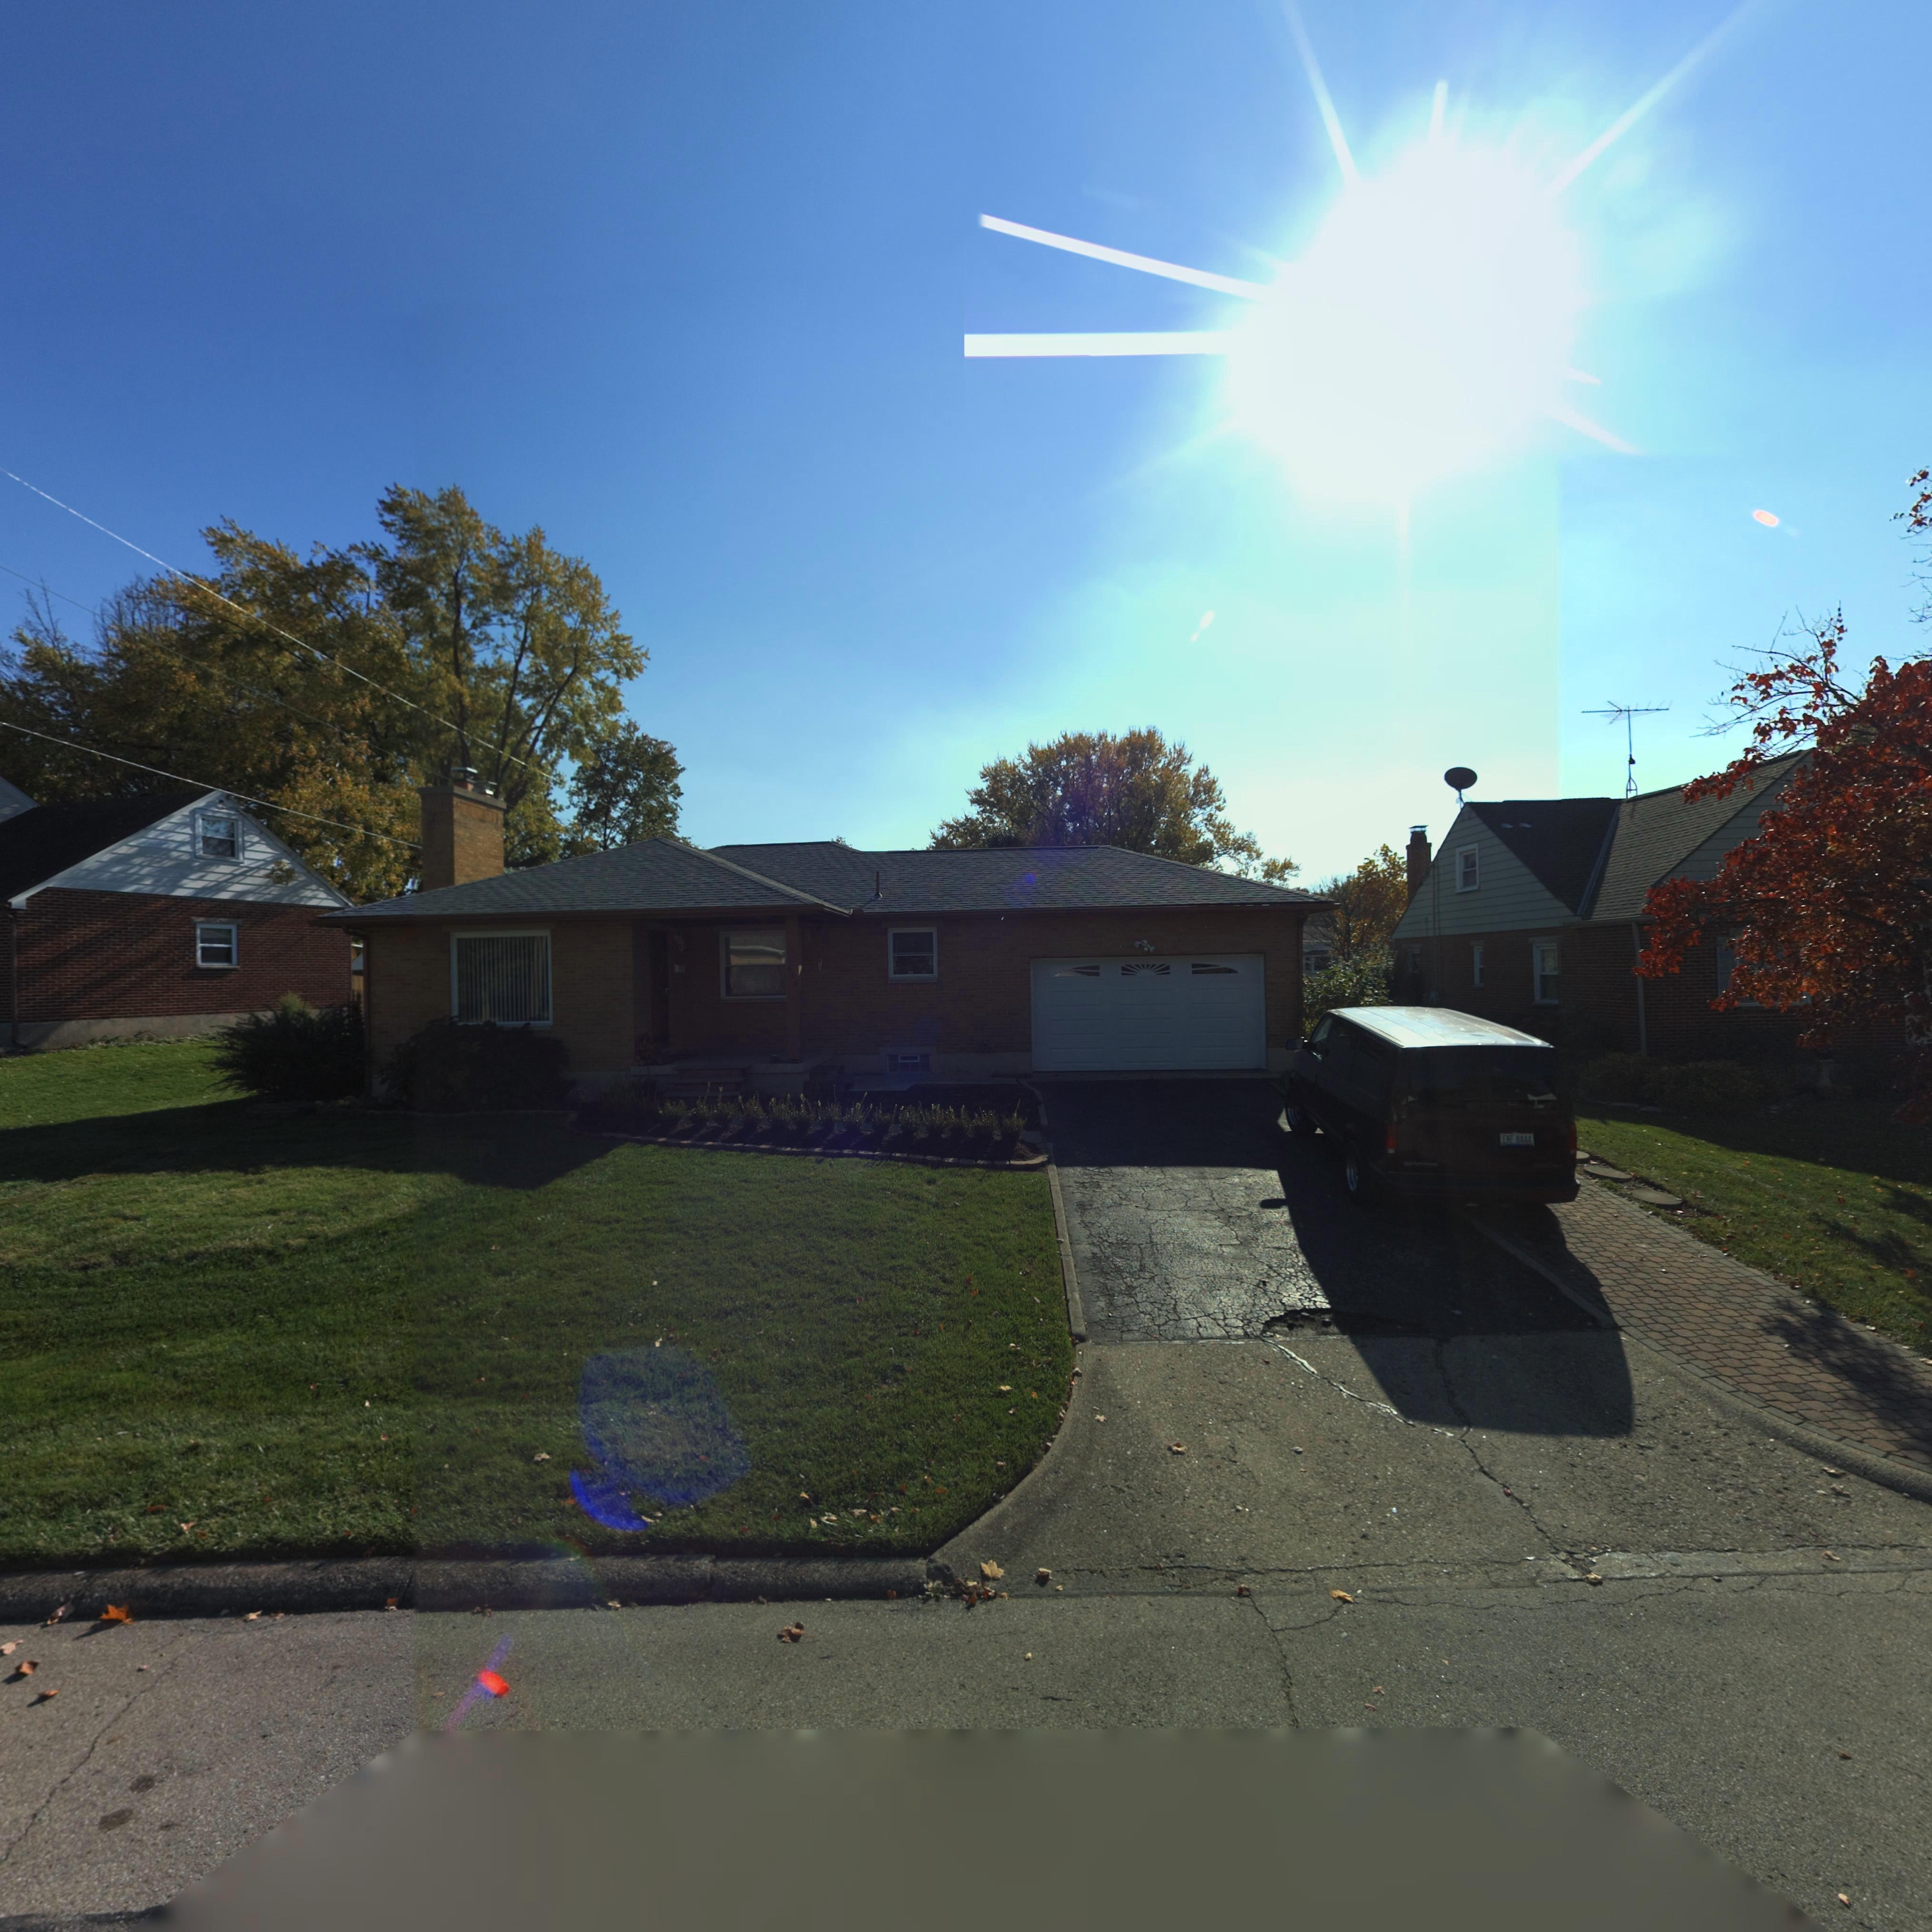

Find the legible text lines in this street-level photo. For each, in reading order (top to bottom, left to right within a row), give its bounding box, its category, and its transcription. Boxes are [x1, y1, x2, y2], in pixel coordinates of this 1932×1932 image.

[787, 965, 798, 987] StreetNumber: 634
[1501, 1134, 1533, 1144] None: E*F*8444